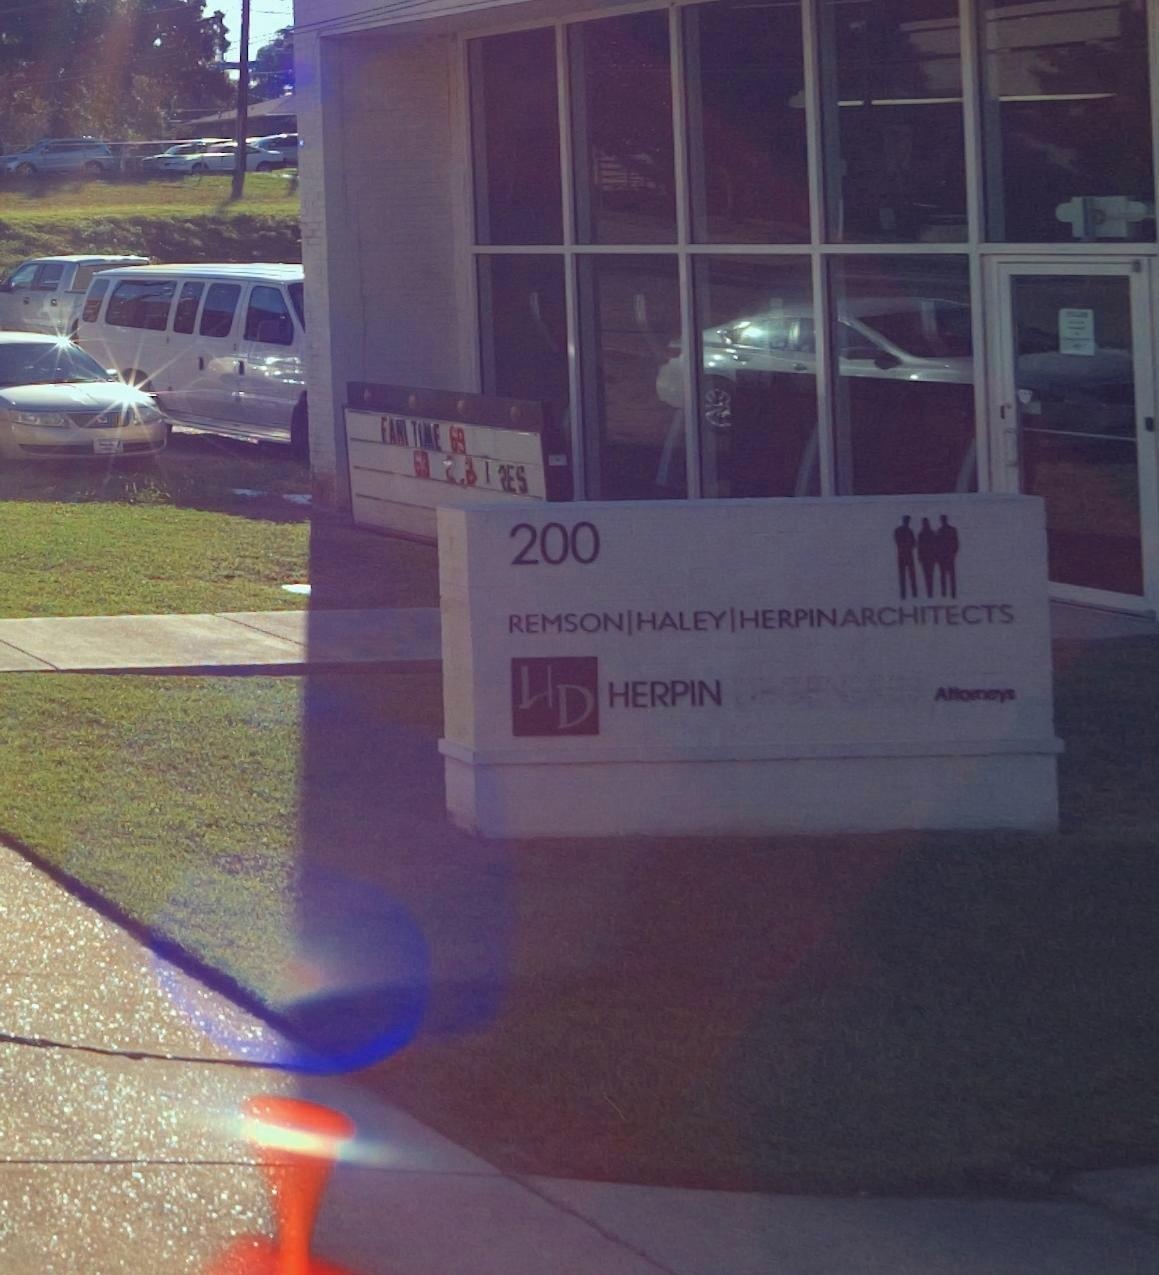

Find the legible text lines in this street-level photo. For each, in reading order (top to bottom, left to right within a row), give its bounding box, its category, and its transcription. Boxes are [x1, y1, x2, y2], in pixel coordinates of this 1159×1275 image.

[379, 412, 470, 458] None: *A** TIME 69
[411, 448, 432, 482] None: 63
[504, 461, 532, 498] None: ES
[504, 517, 603, 568] StreetNumber: 200
[506, 602, 1017, 636] BusinessName: REMSON*HALEY*HERPINARCHITECTS
[517, 661, 598, 734] None: HD
[605, 676, 725, 711] BusinessName: HERPIN
[927, 684, 1017, 706] None: Attorneys